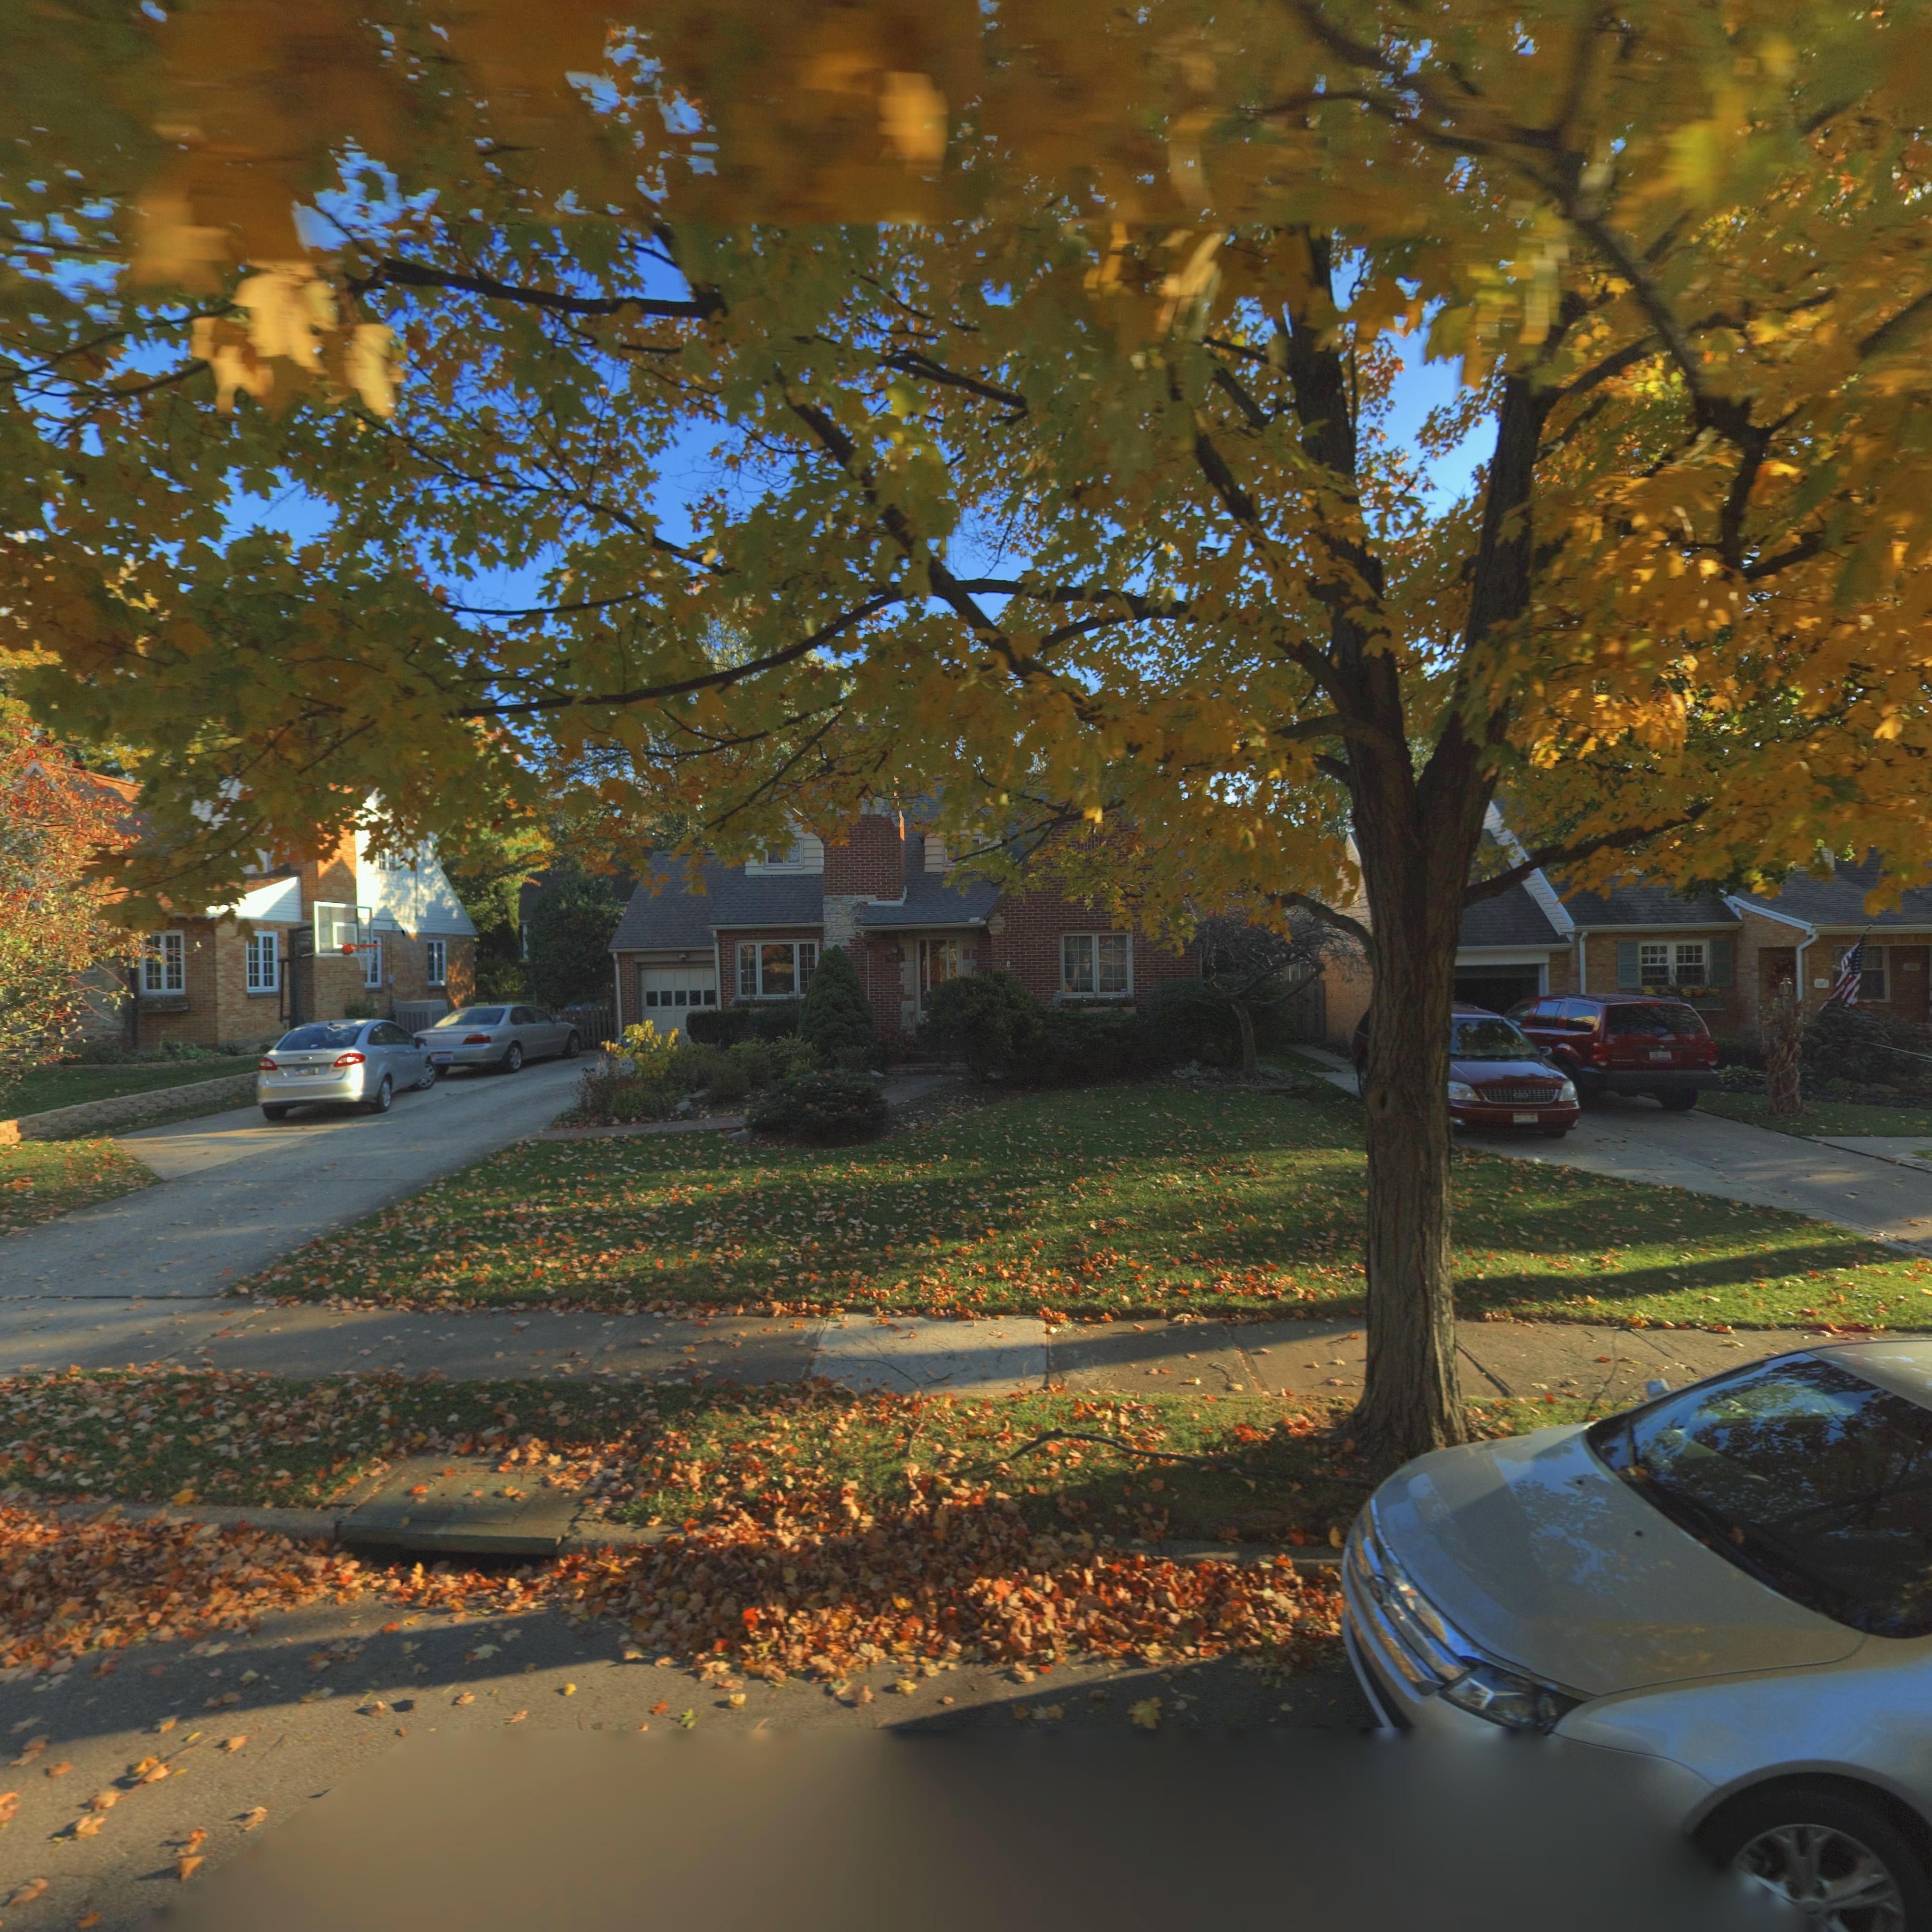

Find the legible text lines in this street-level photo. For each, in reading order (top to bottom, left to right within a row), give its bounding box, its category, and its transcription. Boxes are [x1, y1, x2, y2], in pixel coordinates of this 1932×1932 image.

[888, 954, 902, 962] StreetNumber: 164